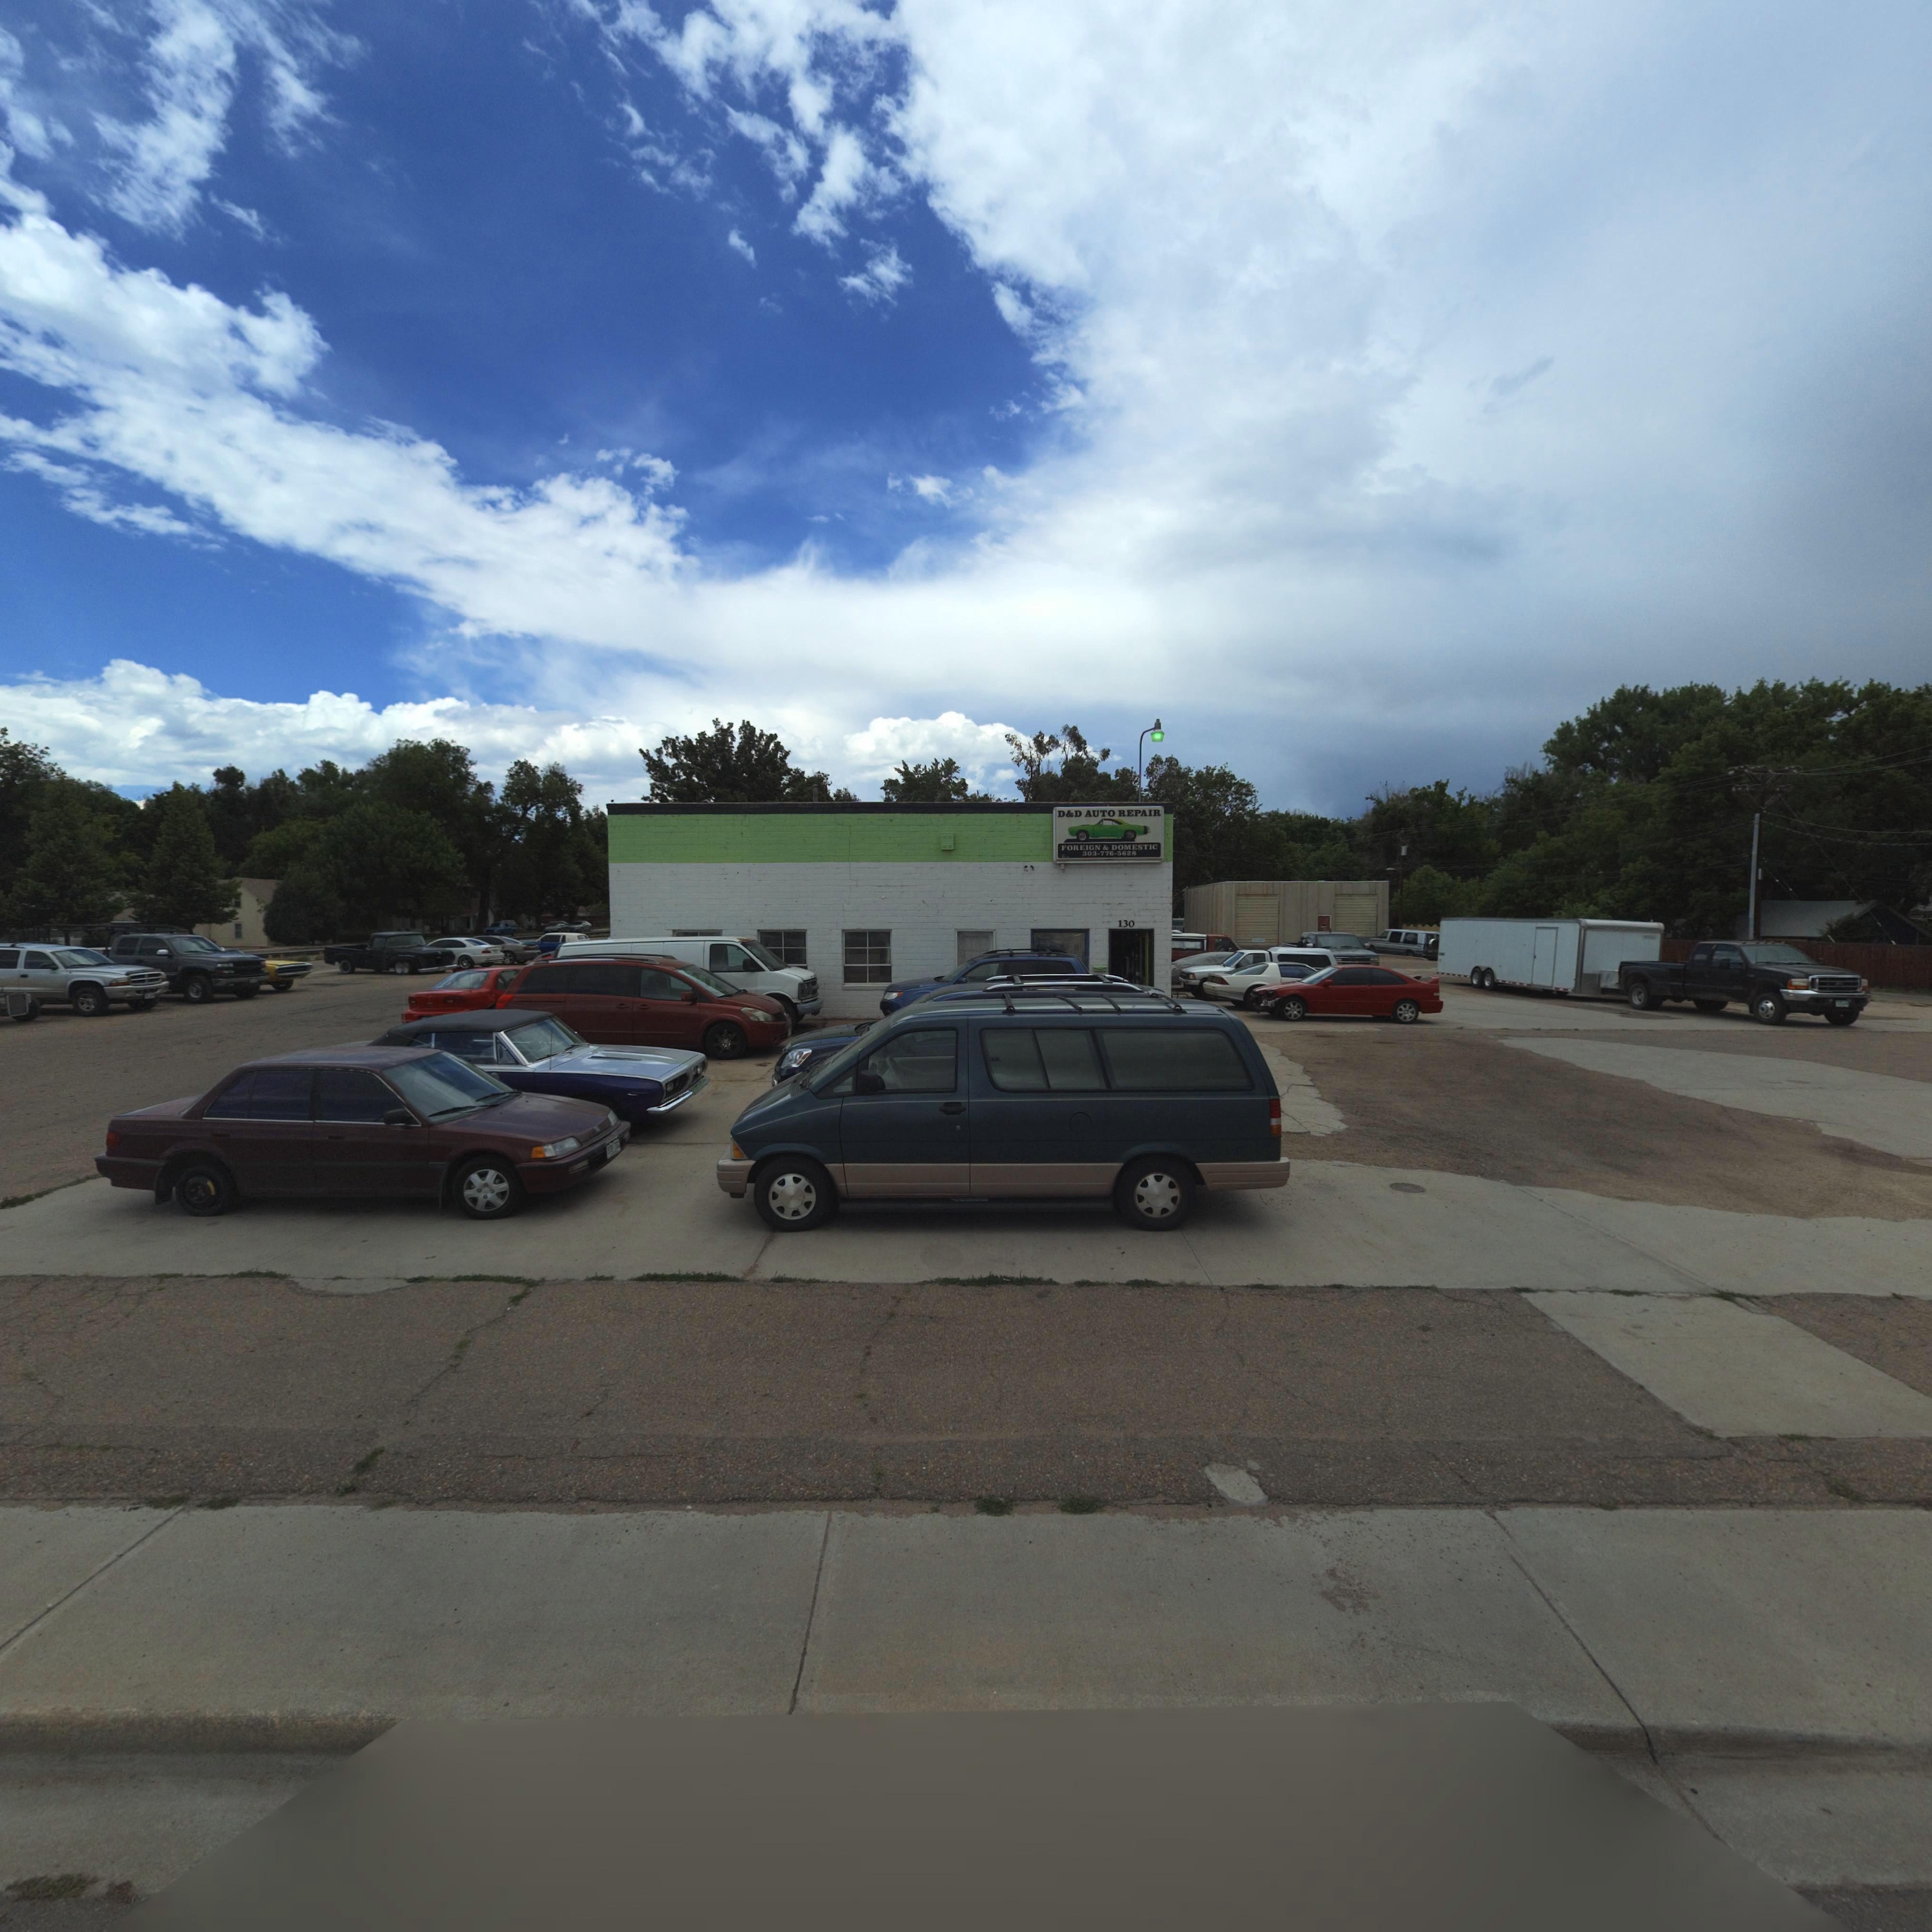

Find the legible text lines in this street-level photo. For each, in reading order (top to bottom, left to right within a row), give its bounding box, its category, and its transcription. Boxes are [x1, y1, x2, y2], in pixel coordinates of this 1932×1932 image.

[1057, 808, 1161, 817] BusinessName: D&D AUTO REPAIR
[1118, 919, 1135, 928] StreetNumber: 130